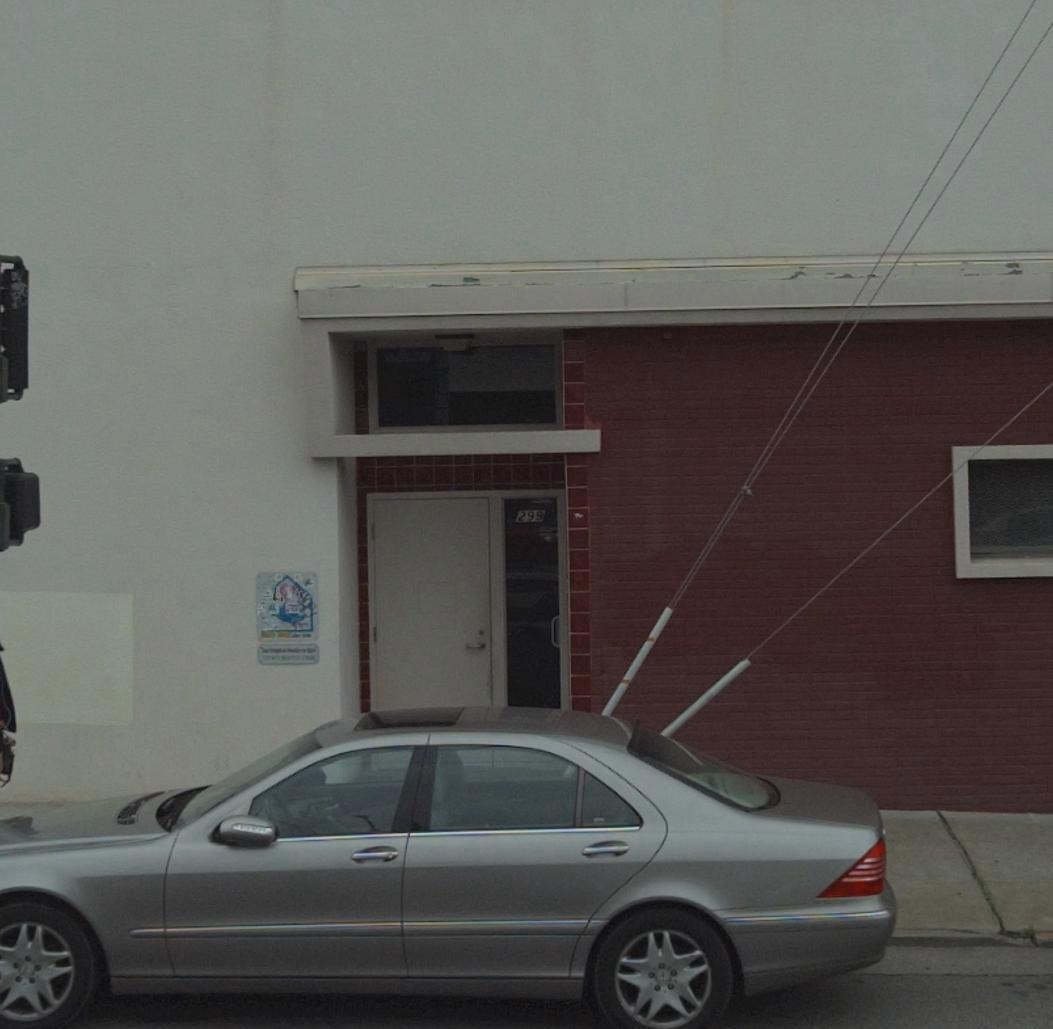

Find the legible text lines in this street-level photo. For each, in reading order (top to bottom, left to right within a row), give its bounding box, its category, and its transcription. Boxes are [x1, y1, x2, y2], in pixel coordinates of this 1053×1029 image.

[516, 510, 545, 522] StreetNumber: 299